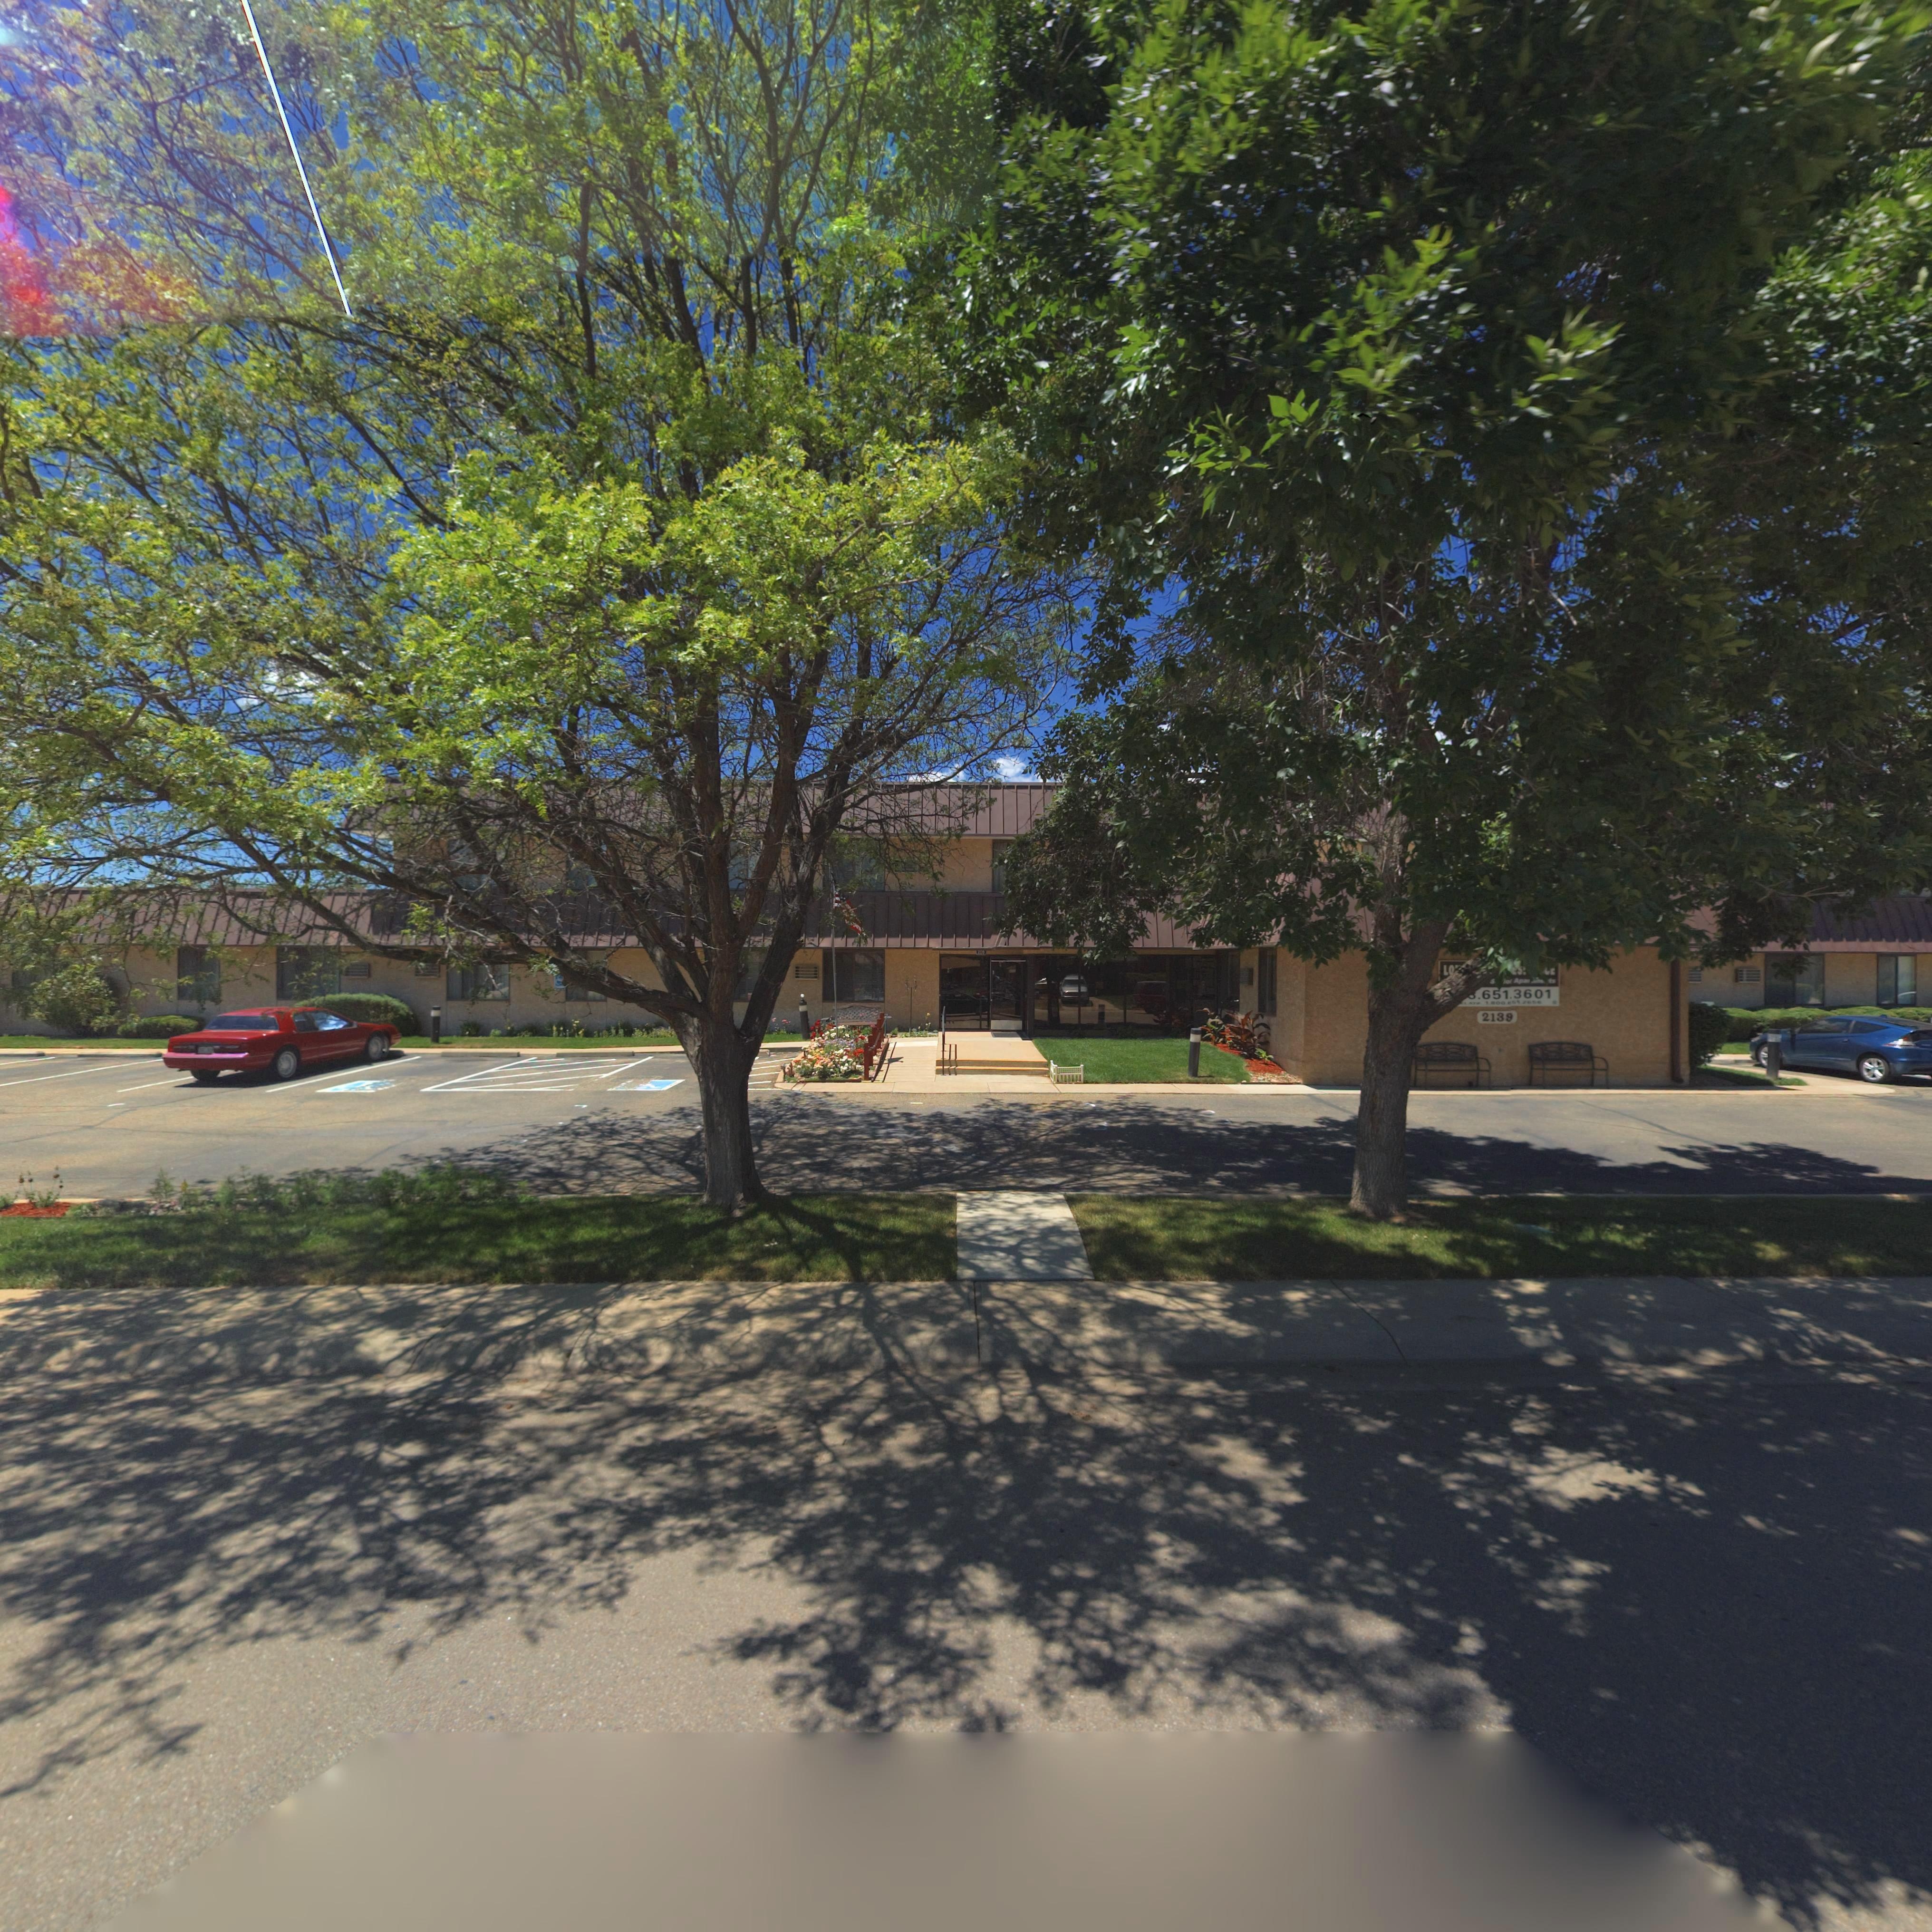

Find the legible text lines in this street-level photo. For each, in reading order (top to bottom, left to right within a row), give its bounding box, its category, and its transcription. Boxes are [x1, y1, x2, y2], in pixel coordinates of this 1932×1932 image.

[977, 950, 985, 954] StreetNumber: 2***
[1481, 1012, 1514, 1022] StreetNumber: 2139